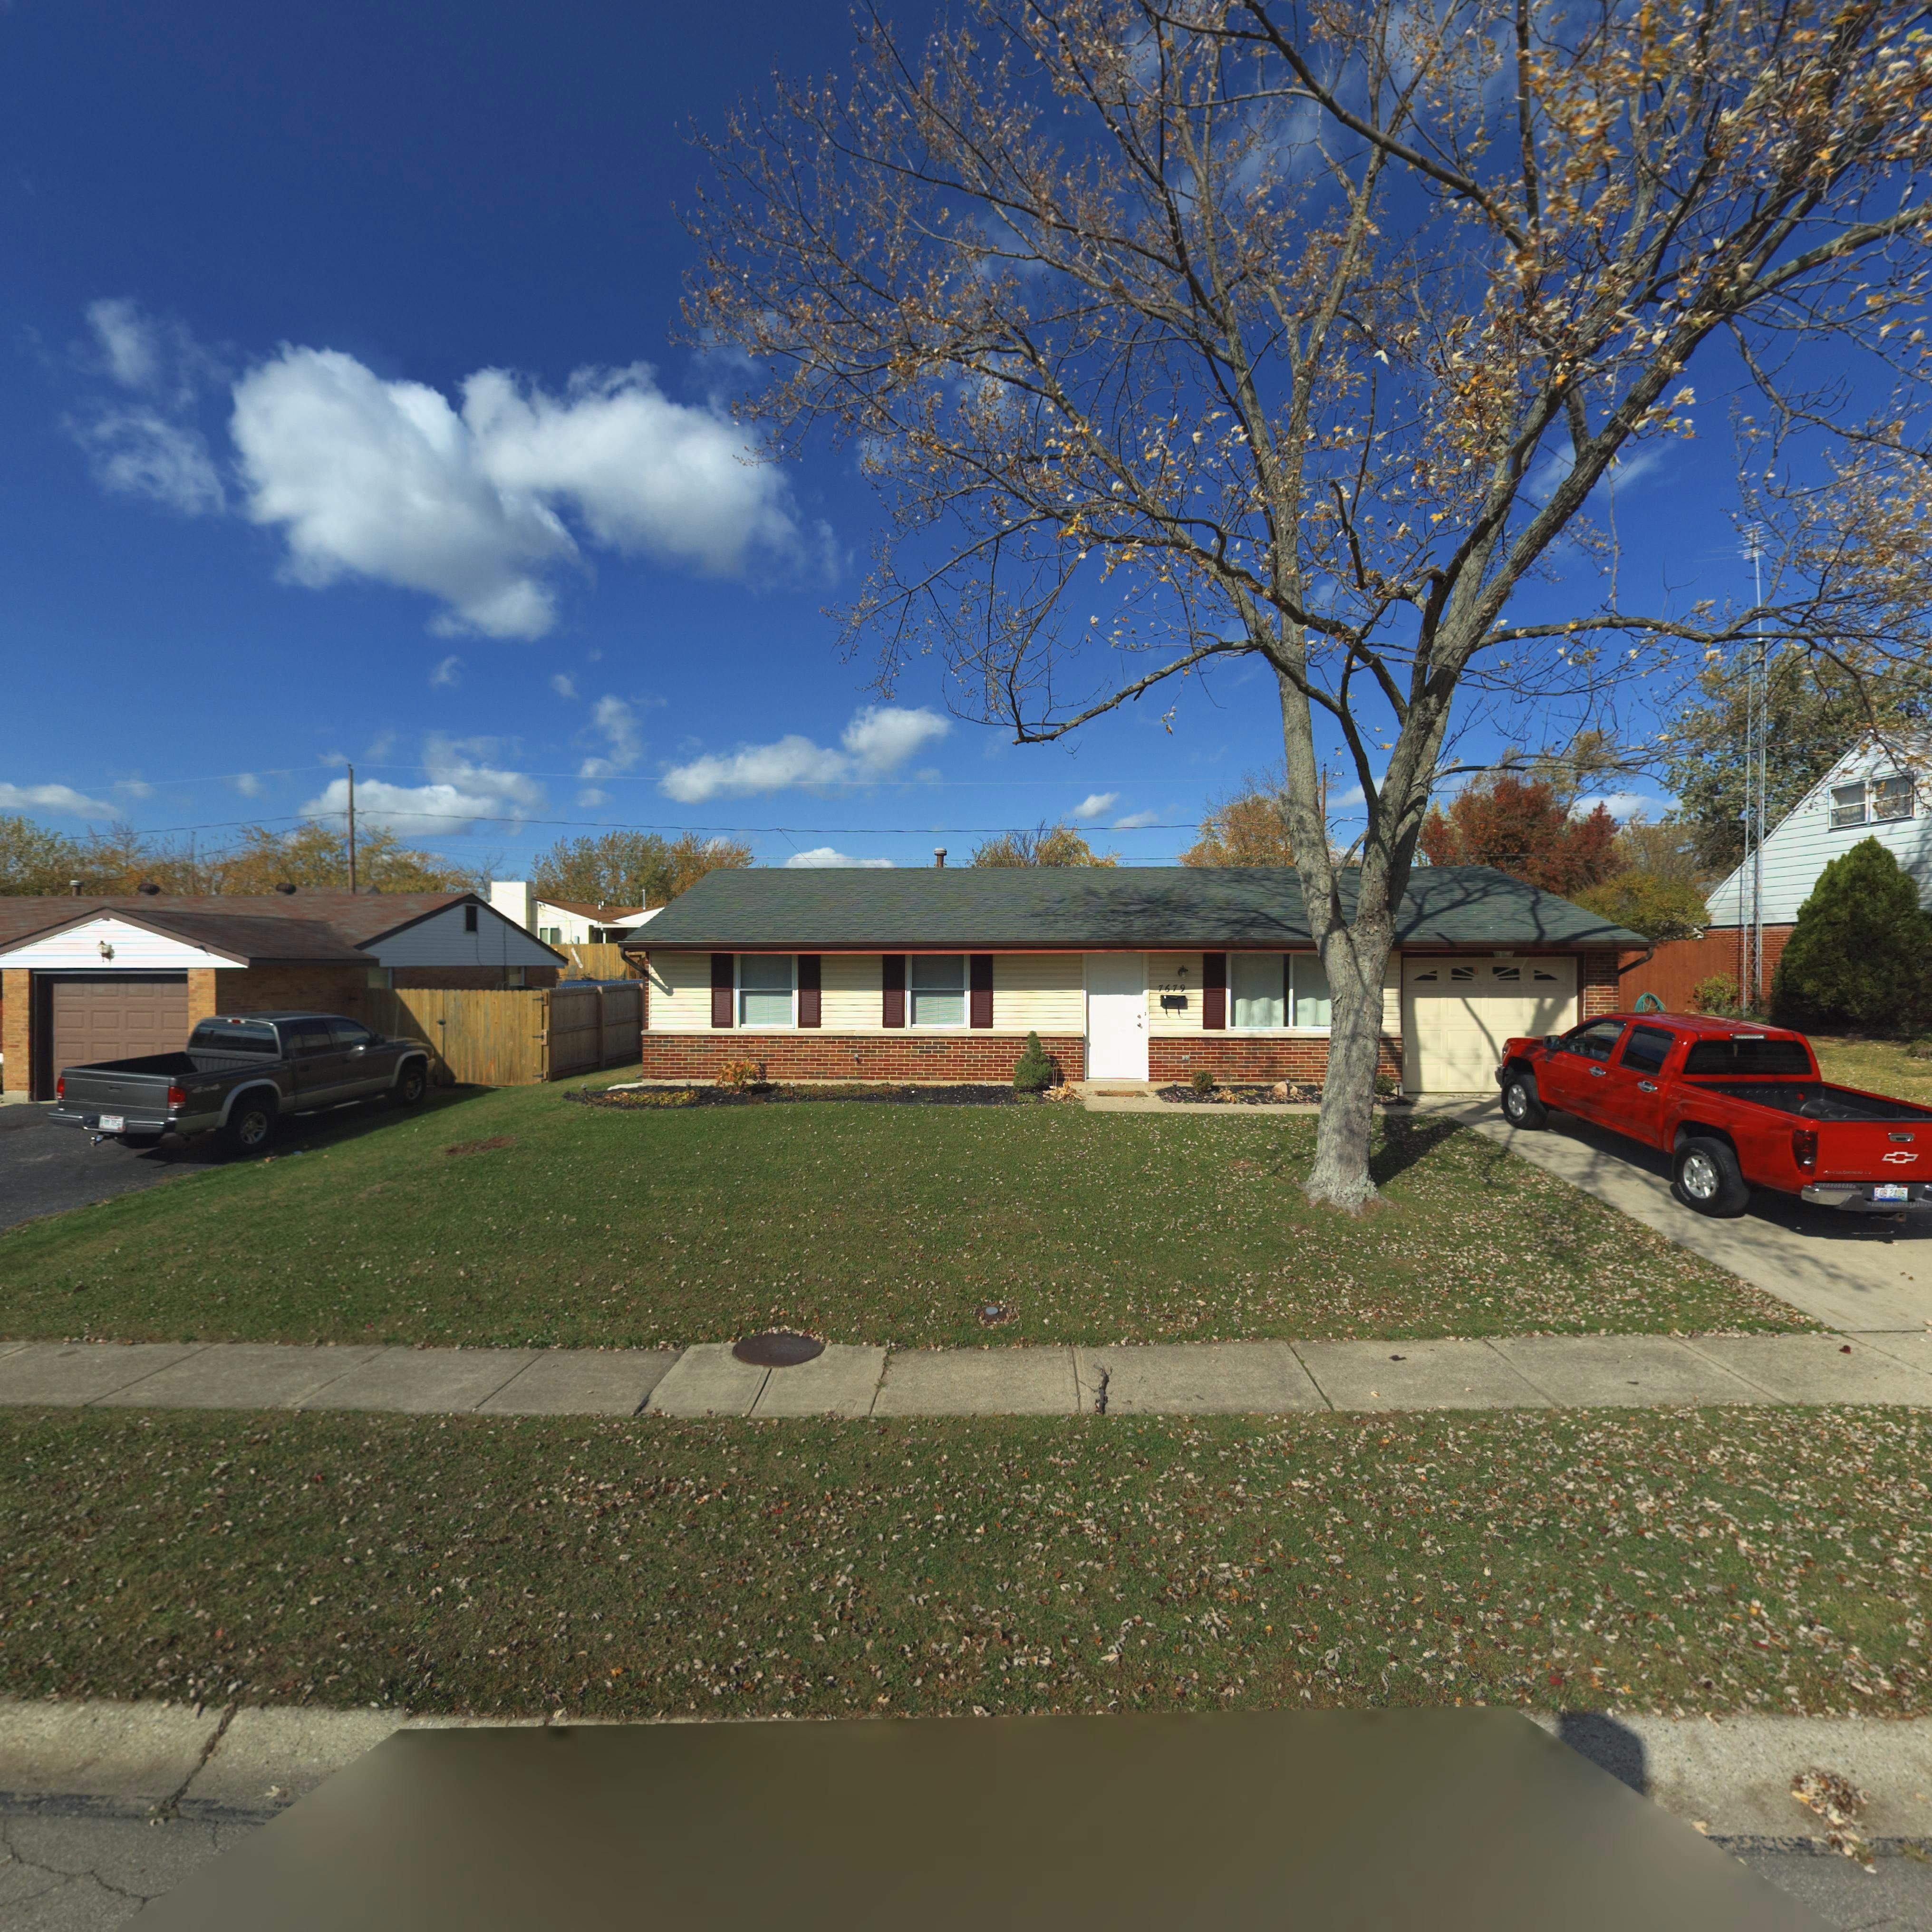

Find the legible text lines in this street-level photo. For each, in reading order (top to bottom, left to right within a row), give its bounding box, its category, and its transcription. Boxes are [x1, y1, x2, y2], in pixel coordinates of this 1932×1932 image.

[1157, 984, 1186, 993] StreetNumber: 7679